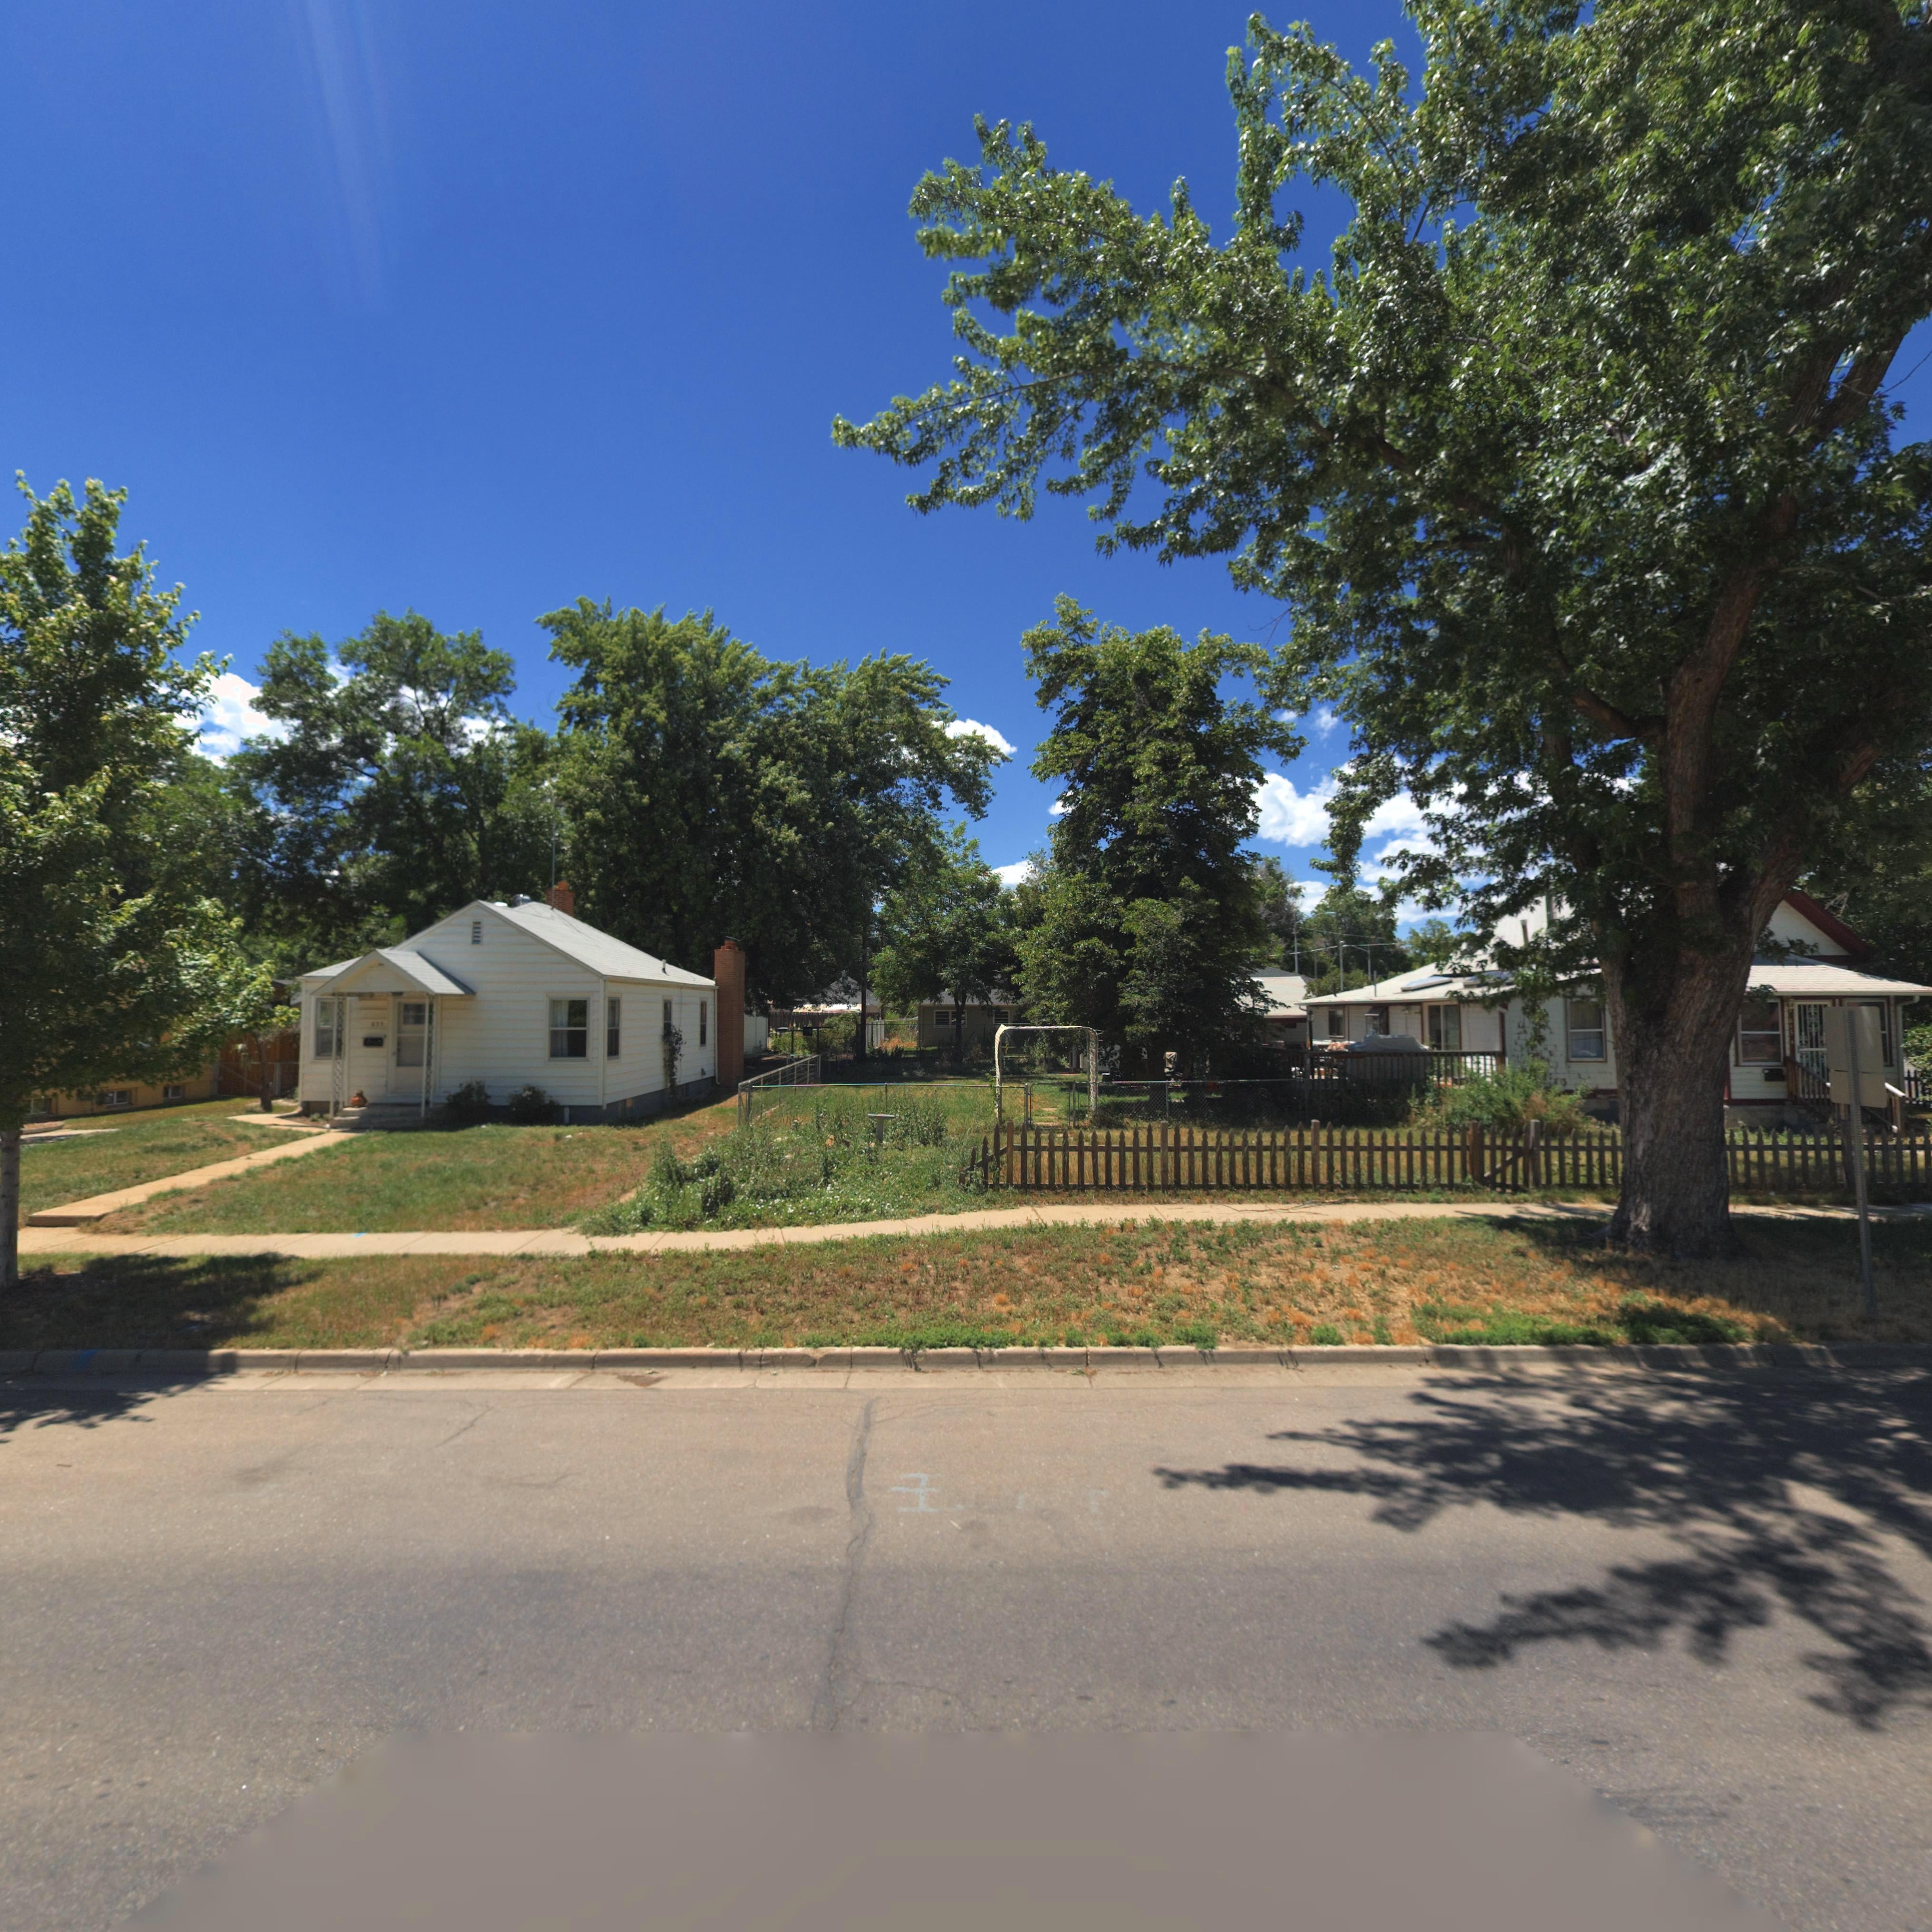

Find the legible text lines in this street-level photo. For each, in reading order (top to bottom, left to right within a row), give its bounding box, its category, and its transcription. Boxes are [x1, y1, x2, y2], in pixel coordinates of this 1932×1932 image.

[1788, 1017, 1793, 1035] StreetNumber: 8*5